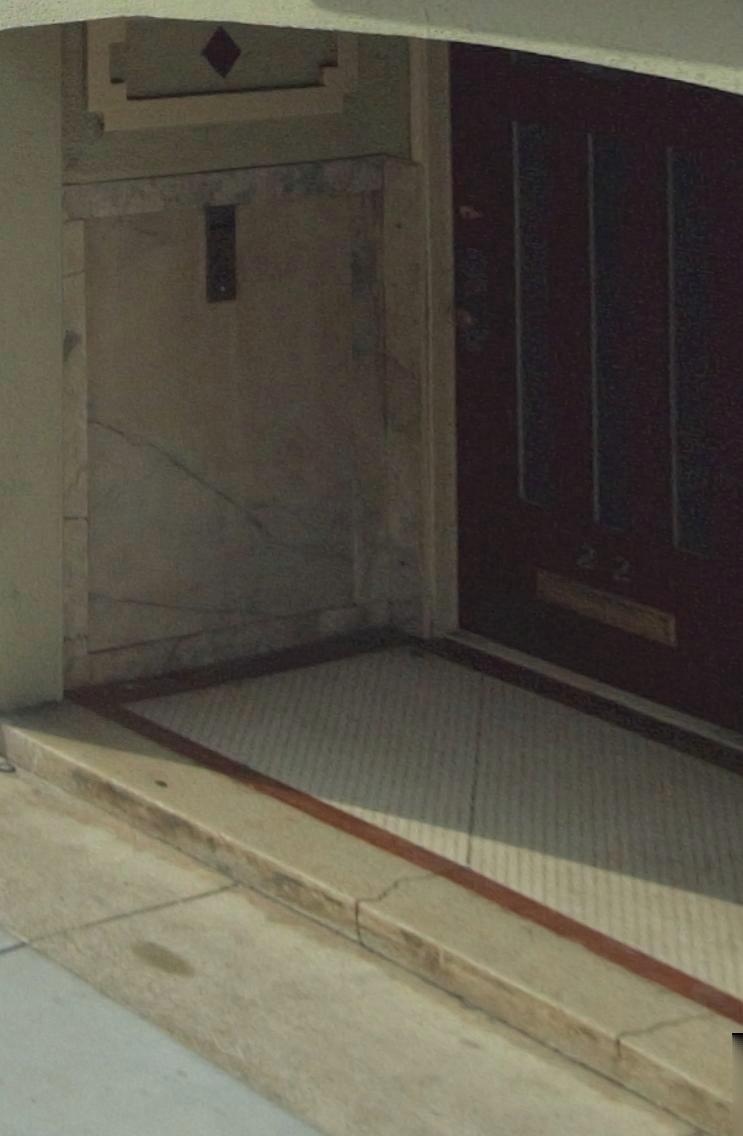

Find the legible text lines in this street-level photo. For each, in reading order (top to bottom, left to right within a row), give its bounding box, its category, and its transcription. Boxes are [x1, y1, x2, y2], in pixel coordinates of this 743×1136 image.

[572, 539, 638, 590] StreetNumber: 22